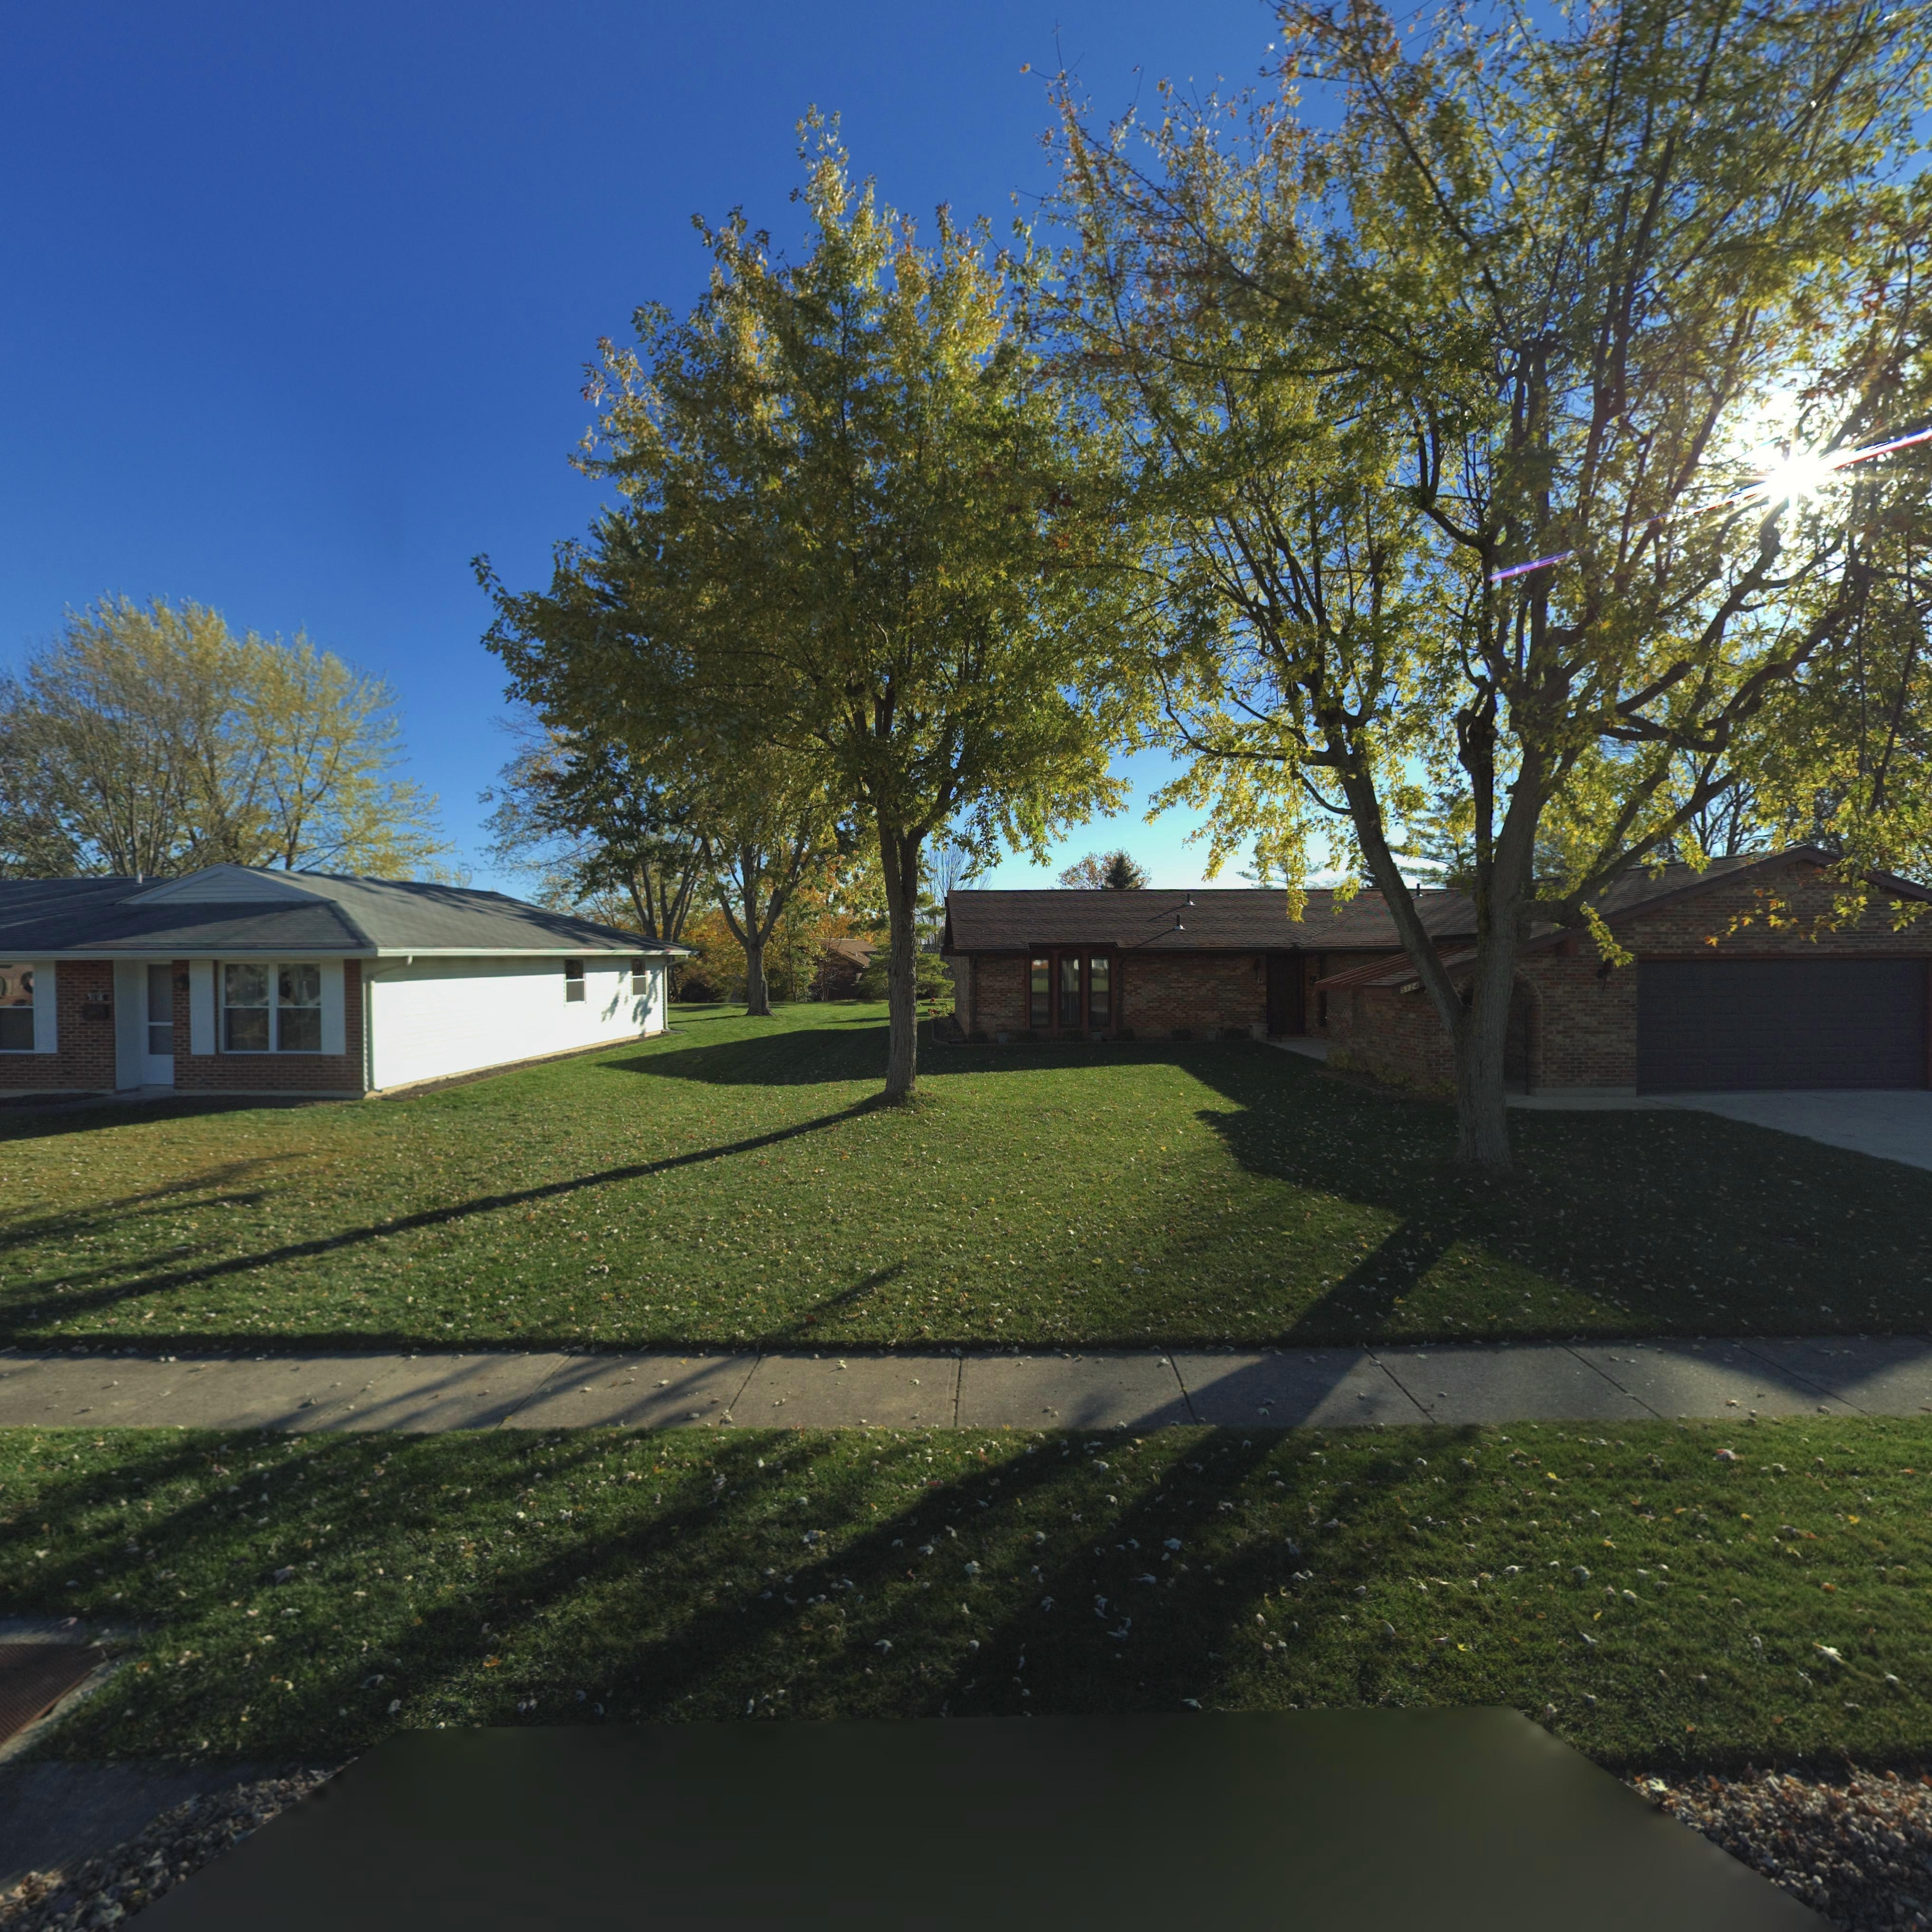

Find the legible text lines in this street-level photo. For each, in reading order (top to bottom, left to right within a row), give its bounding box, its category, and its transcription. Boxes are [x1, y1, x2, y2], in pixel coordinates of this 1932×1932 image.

[1400, 981, 1419, 994] StreetNumber: 5124
[87, 993, 105, 1001] StreetNumber: 5118